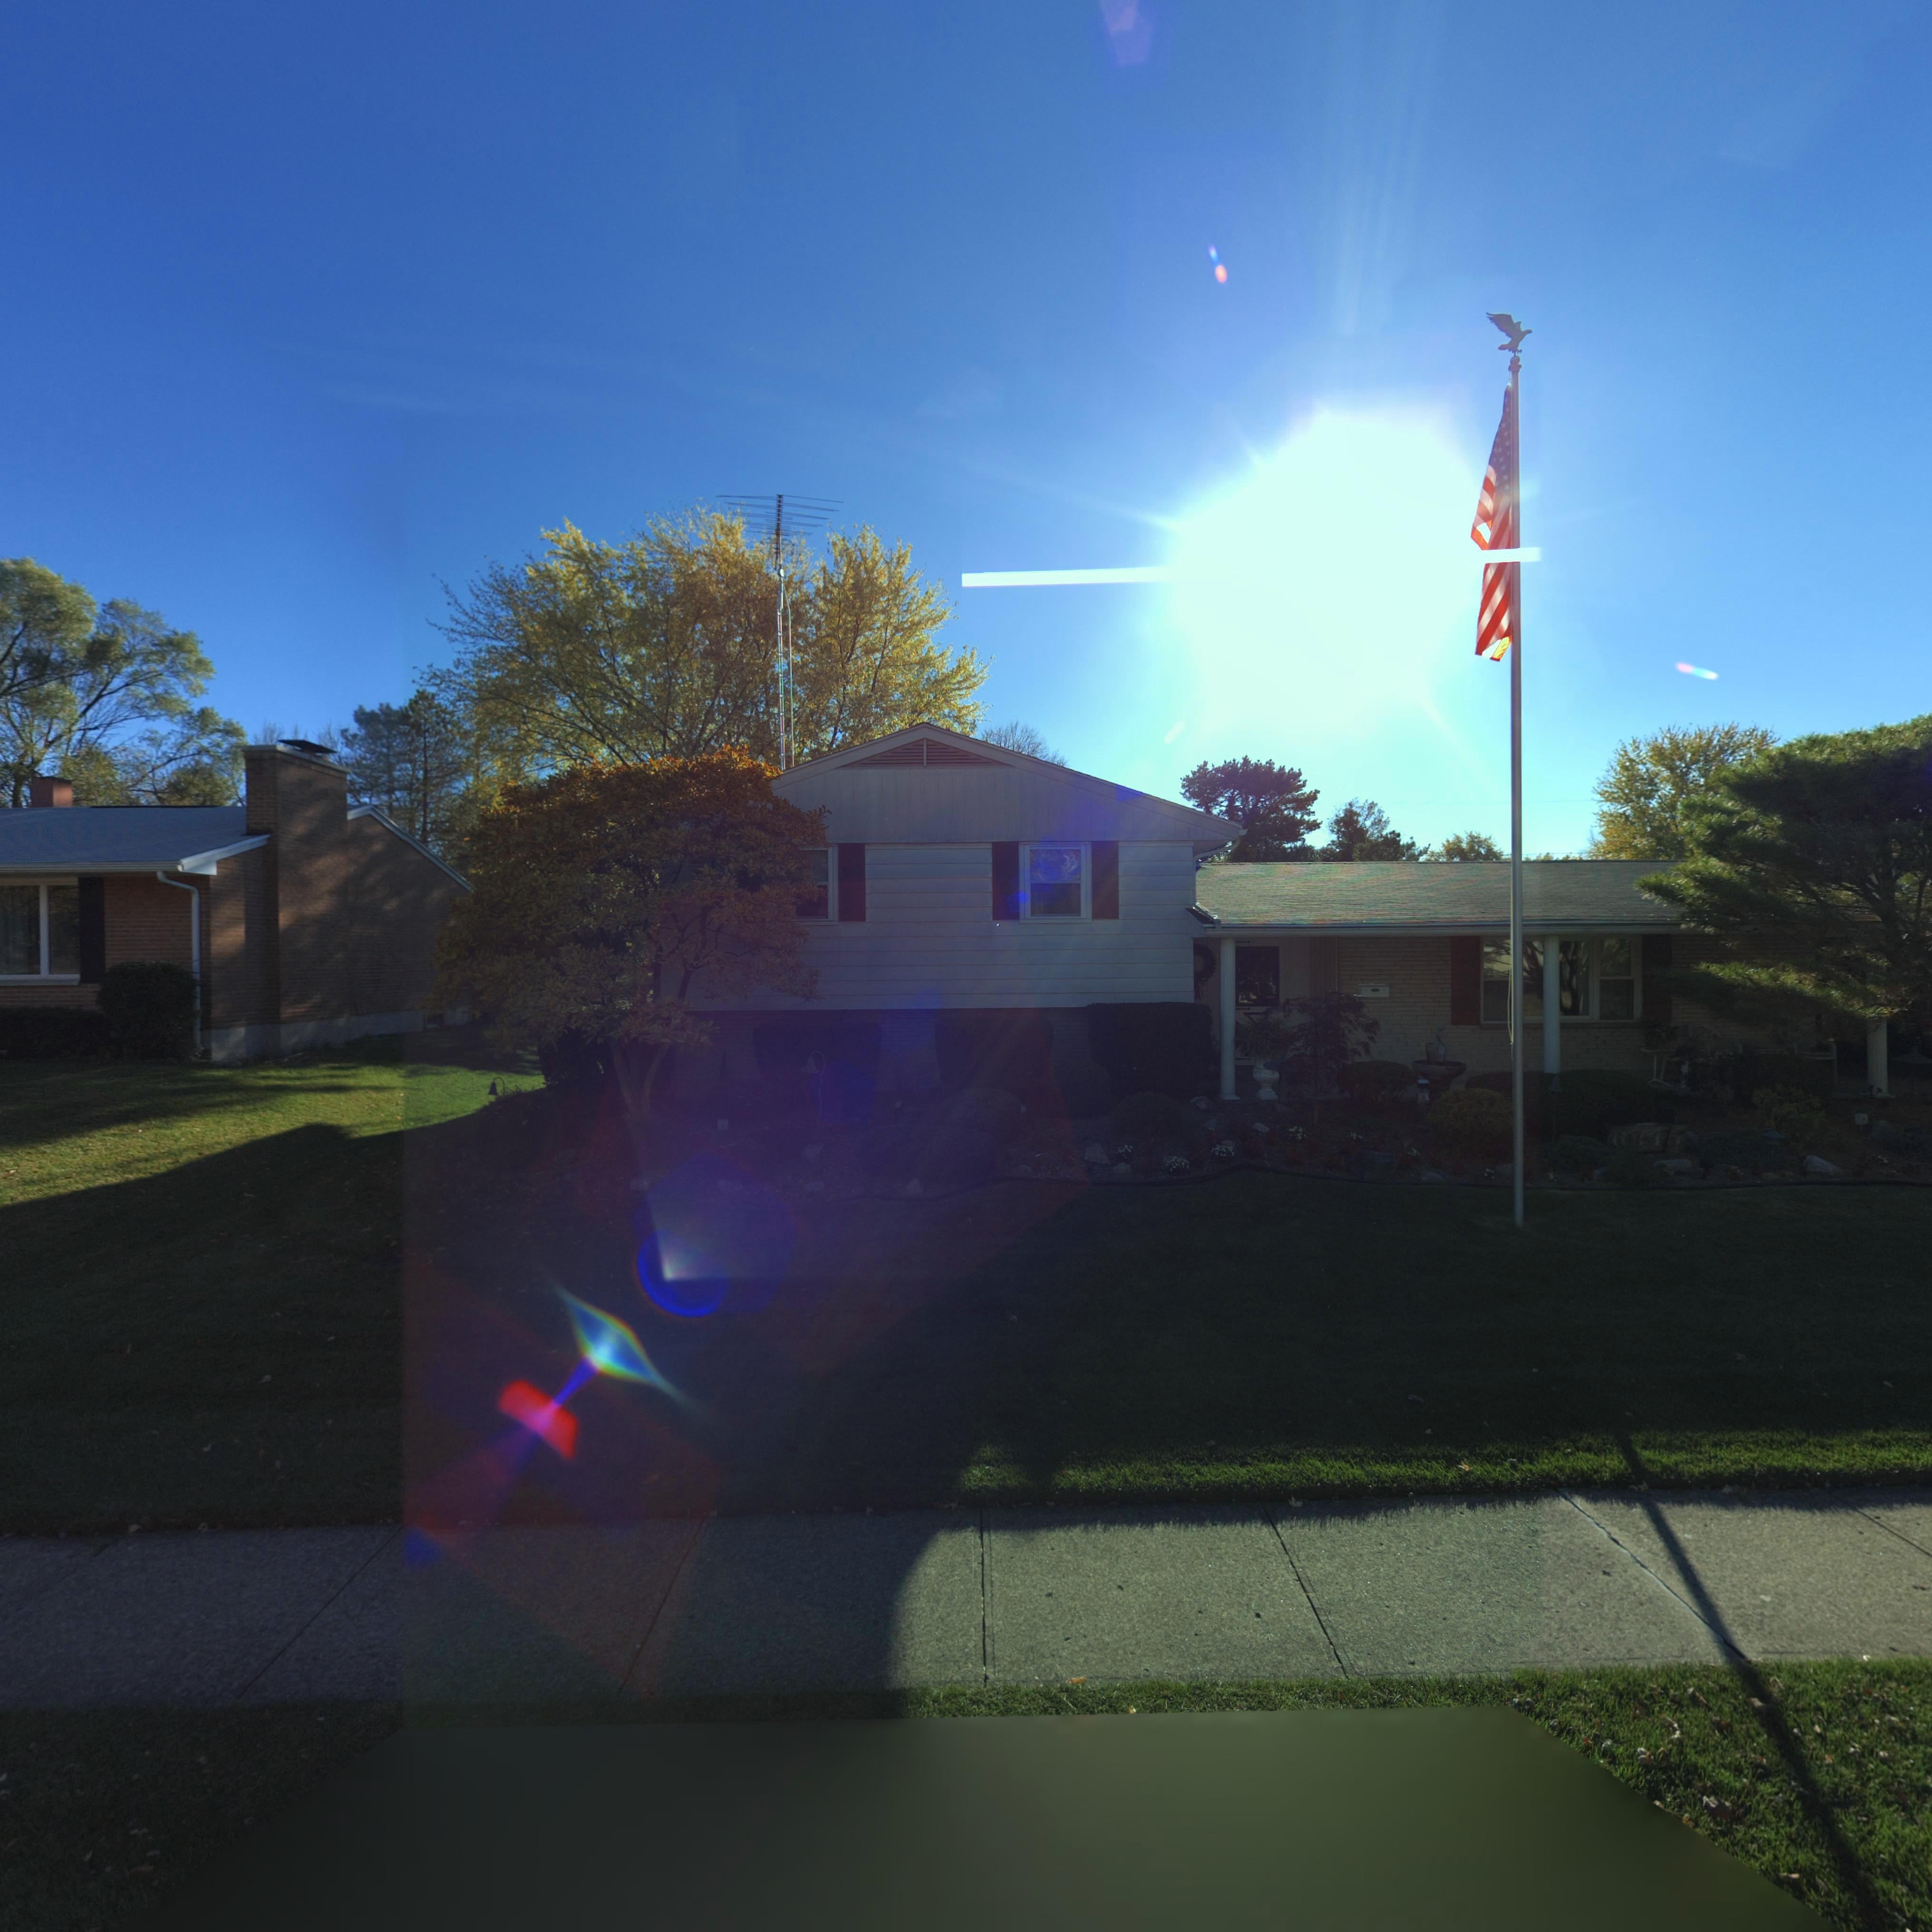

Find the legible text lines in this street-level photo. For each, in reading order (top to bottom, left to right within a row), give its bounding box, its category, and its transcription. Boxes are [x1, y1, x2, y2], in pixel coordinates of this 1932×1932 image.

[1612, 1130, 1682, 1150] StreetNumber: 6845